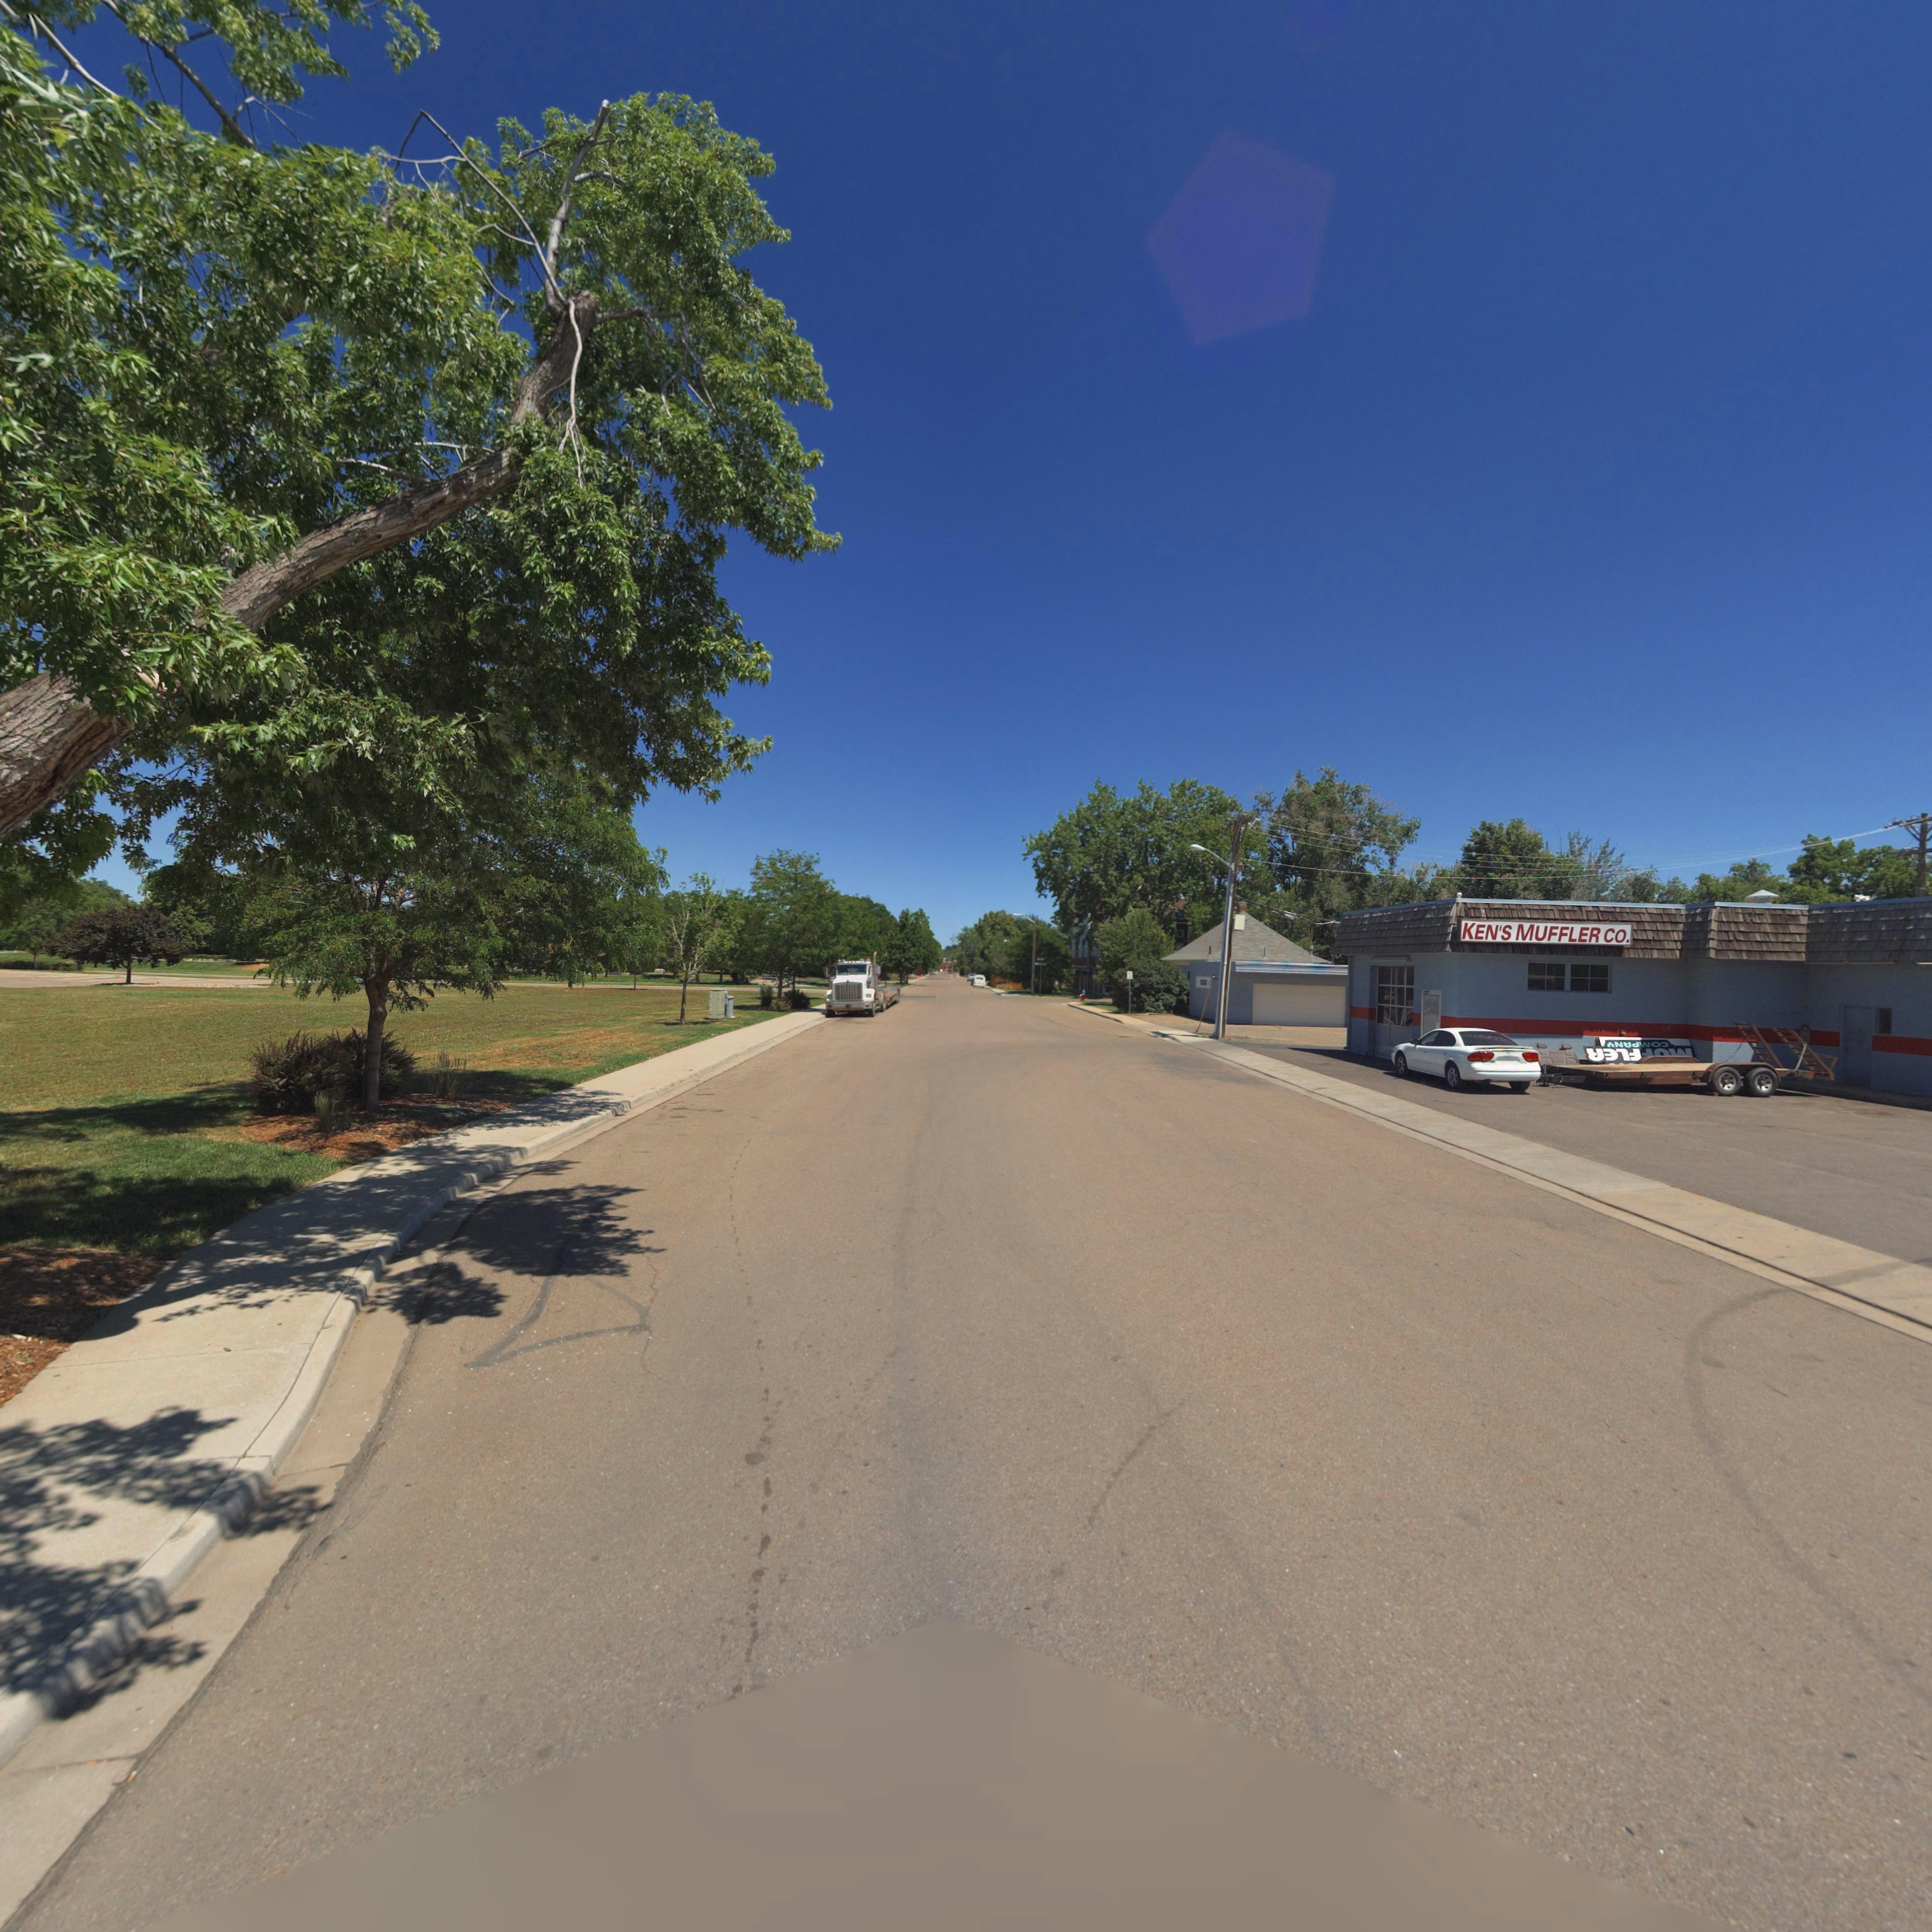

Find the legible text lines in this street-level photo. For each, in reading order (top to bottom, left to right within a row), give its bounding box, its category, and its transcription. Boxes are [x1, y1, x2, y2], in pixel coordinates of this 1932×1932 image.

[1461, 921, 1630, 944] BusinessName: KEN'S MUFFLER CO.